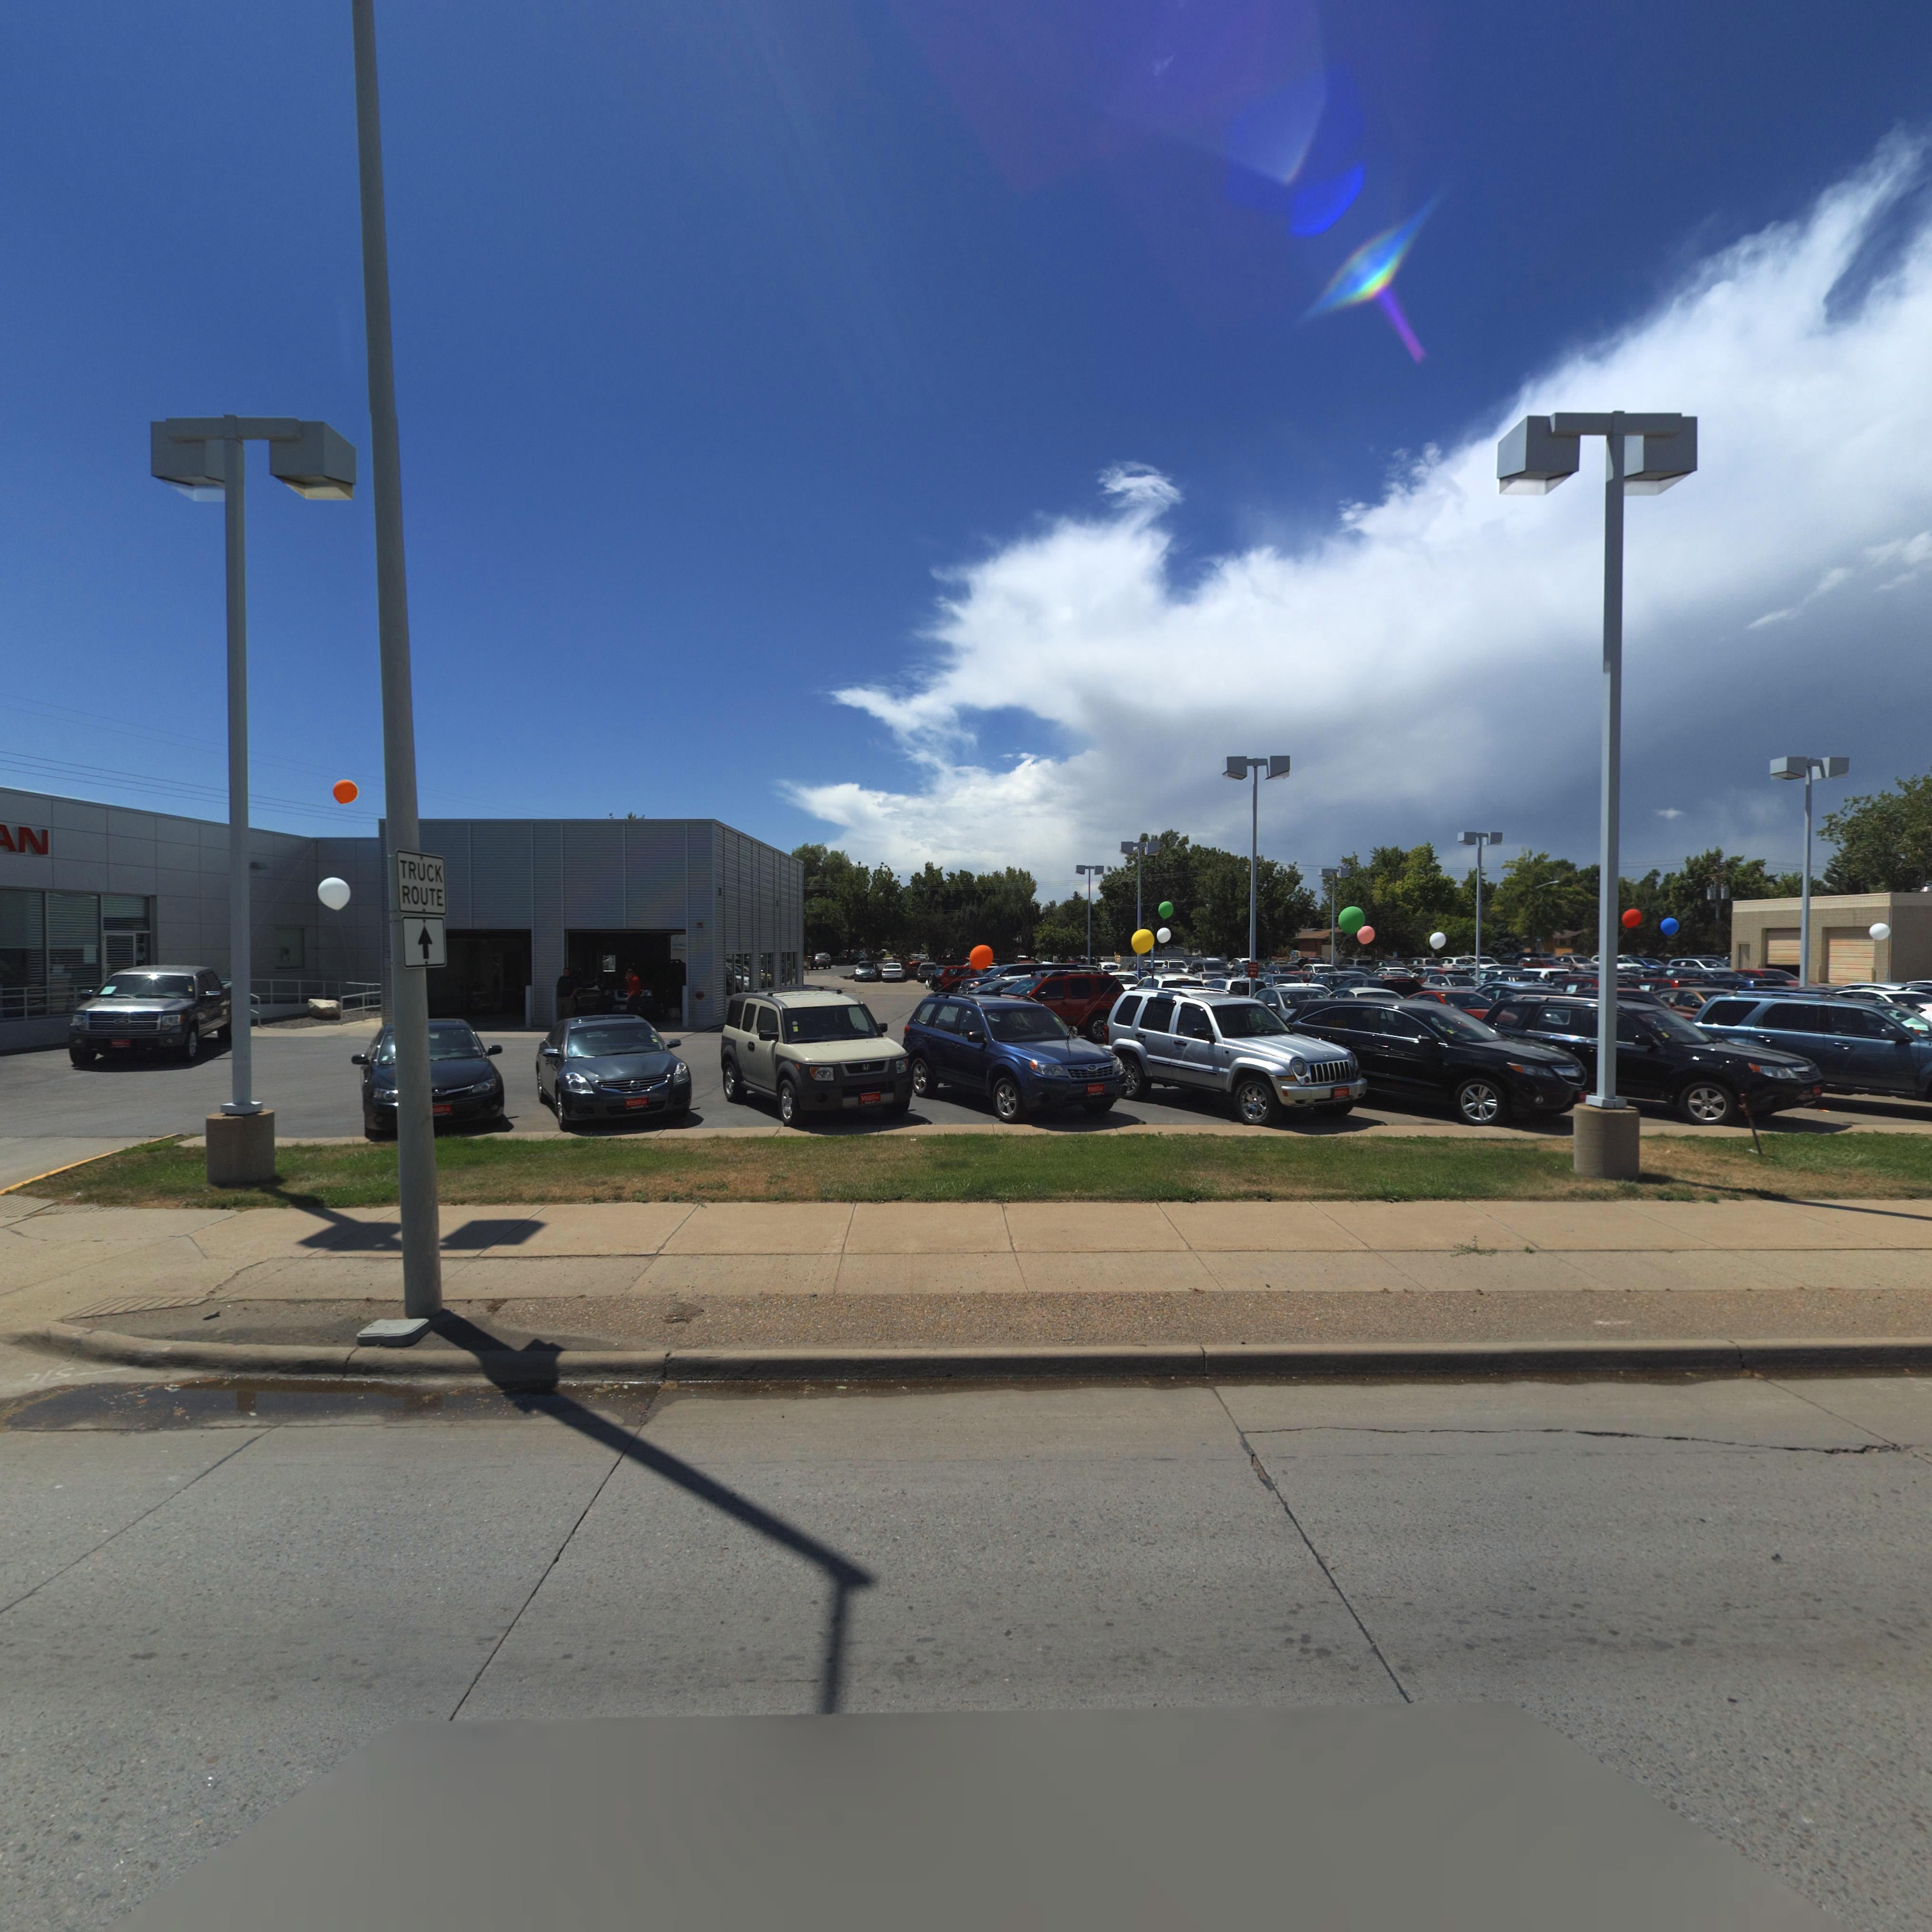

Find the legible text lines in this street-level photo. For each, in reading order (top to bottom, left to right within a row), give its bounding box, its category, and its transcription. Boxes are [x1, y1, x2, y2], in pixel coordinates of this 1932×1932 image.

[18, 826, 48, 855] BusinessName: N